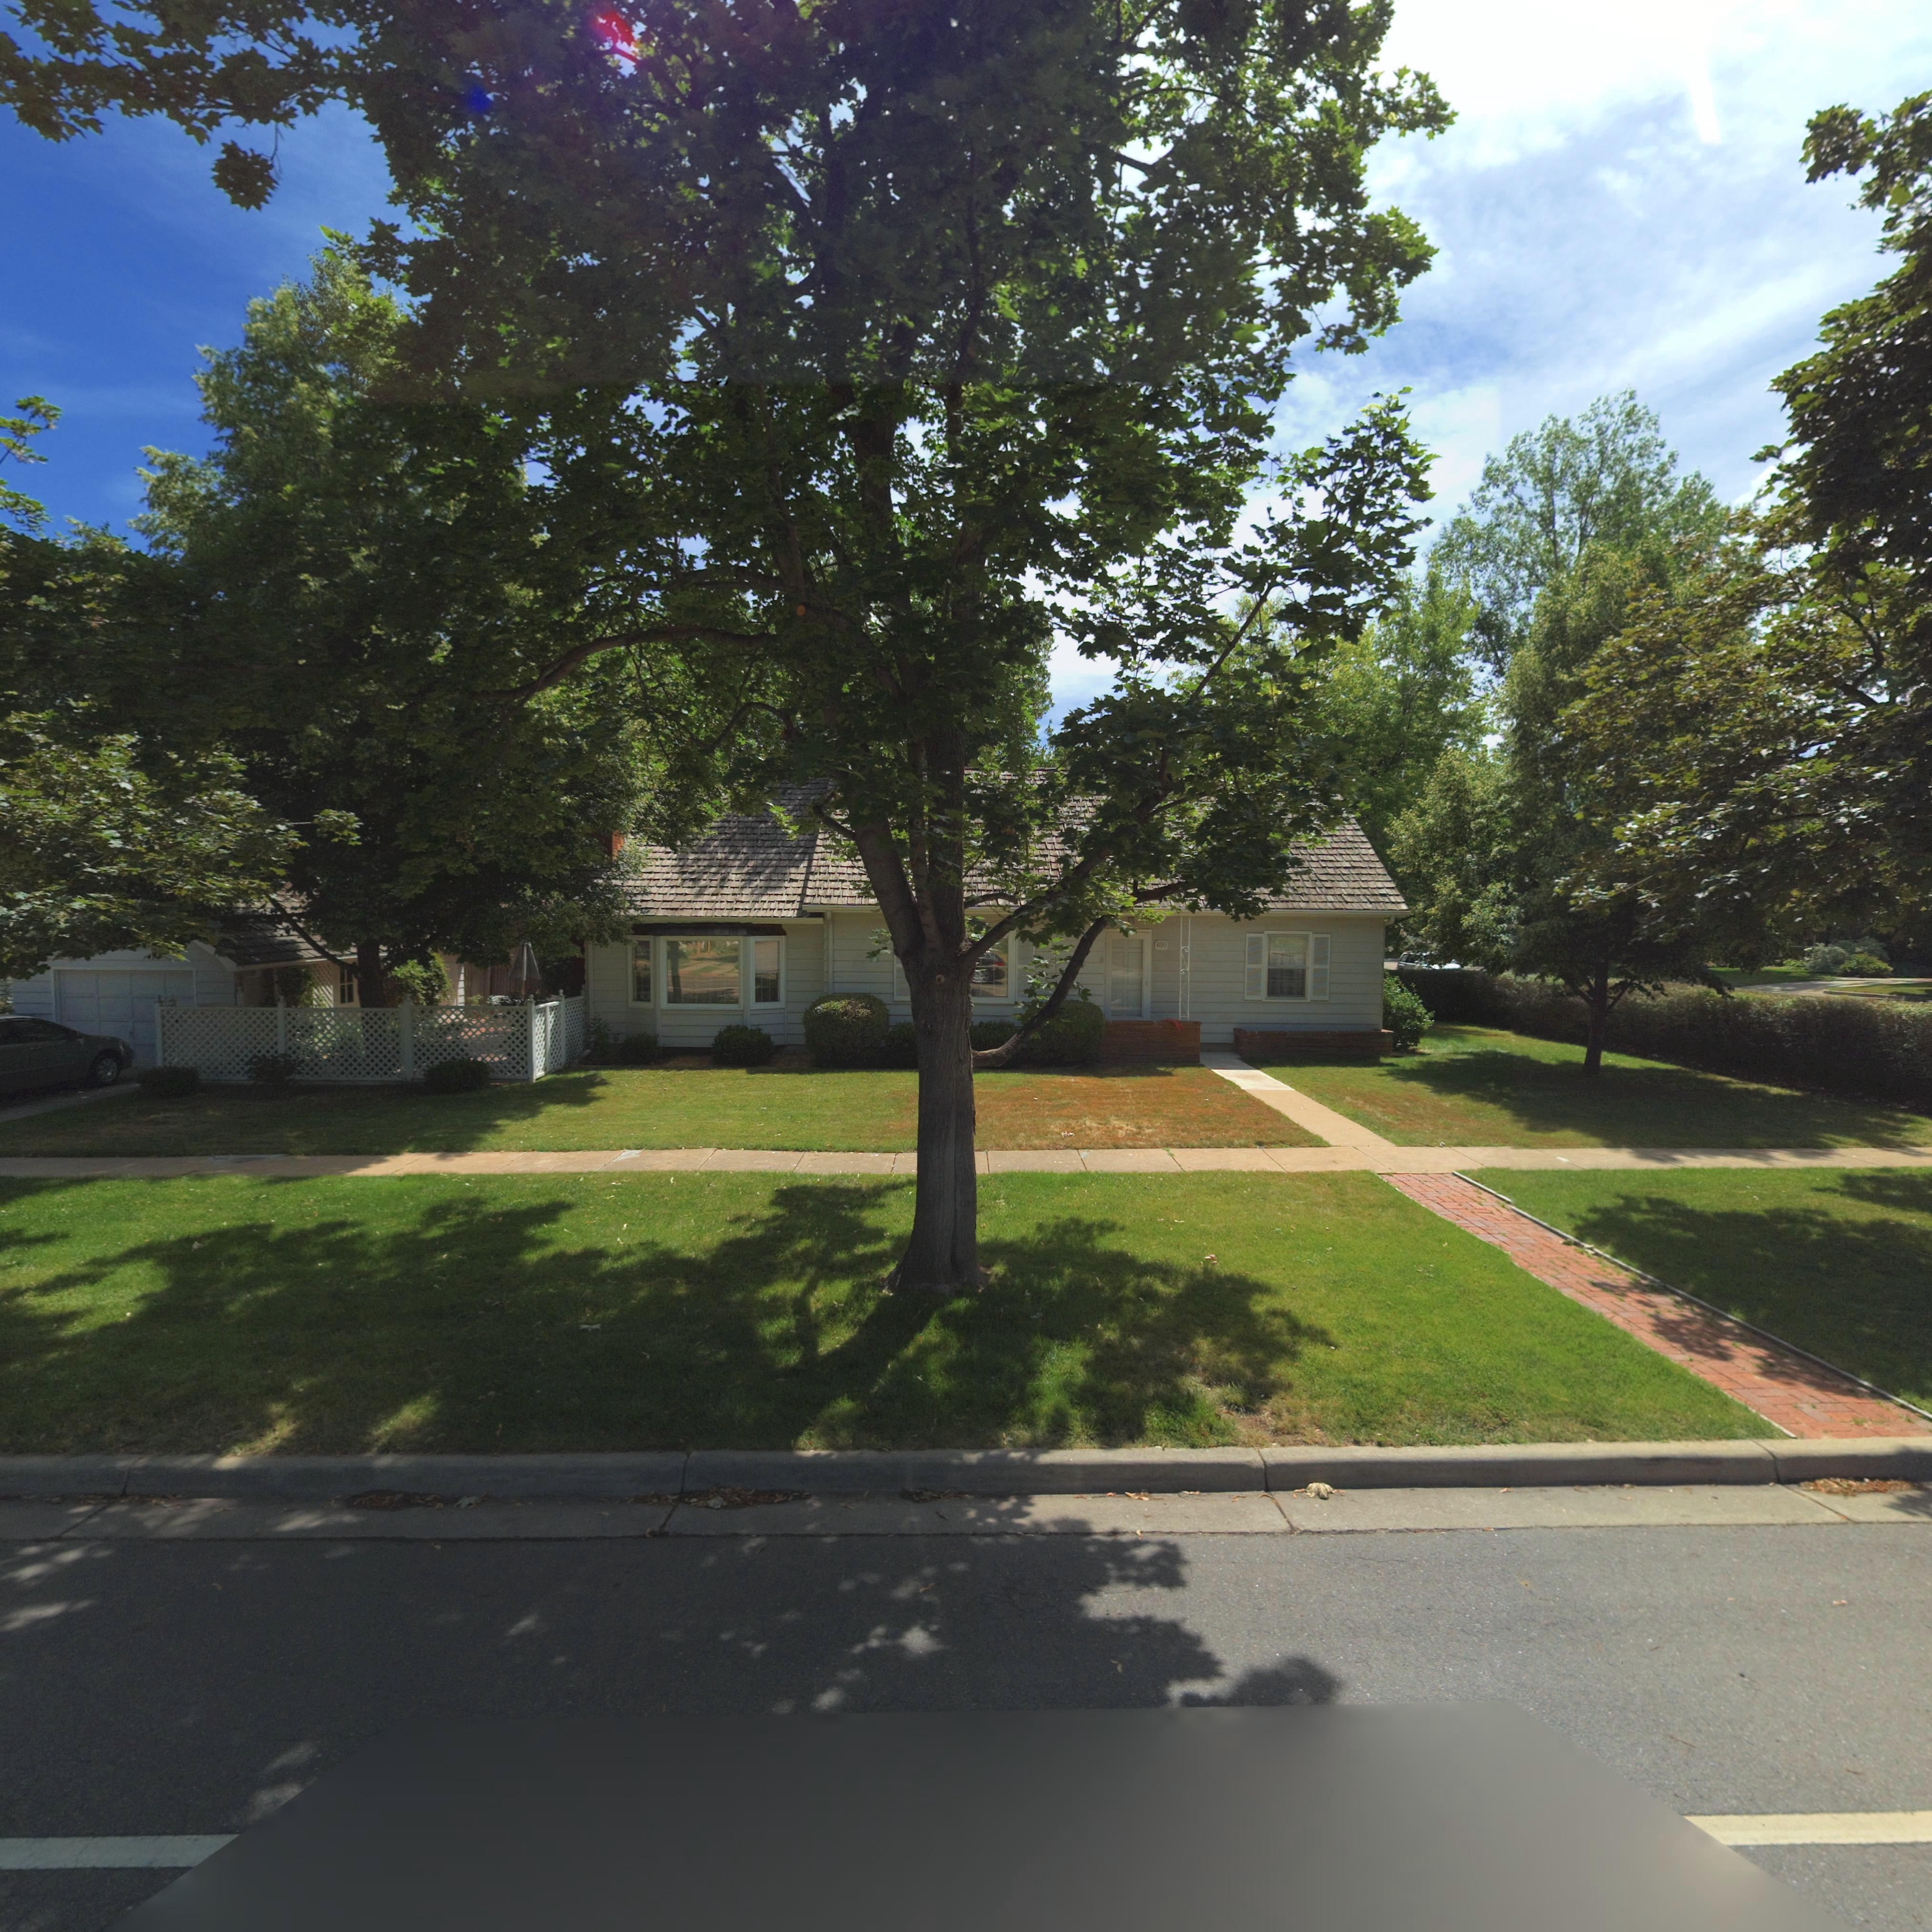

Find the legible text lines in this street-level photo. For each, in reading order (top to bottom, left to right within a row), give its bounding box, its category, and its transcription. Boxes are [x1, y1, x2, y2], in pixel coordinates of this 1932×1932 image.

[1156, 941, 1167, 948] StreetNumber: 600